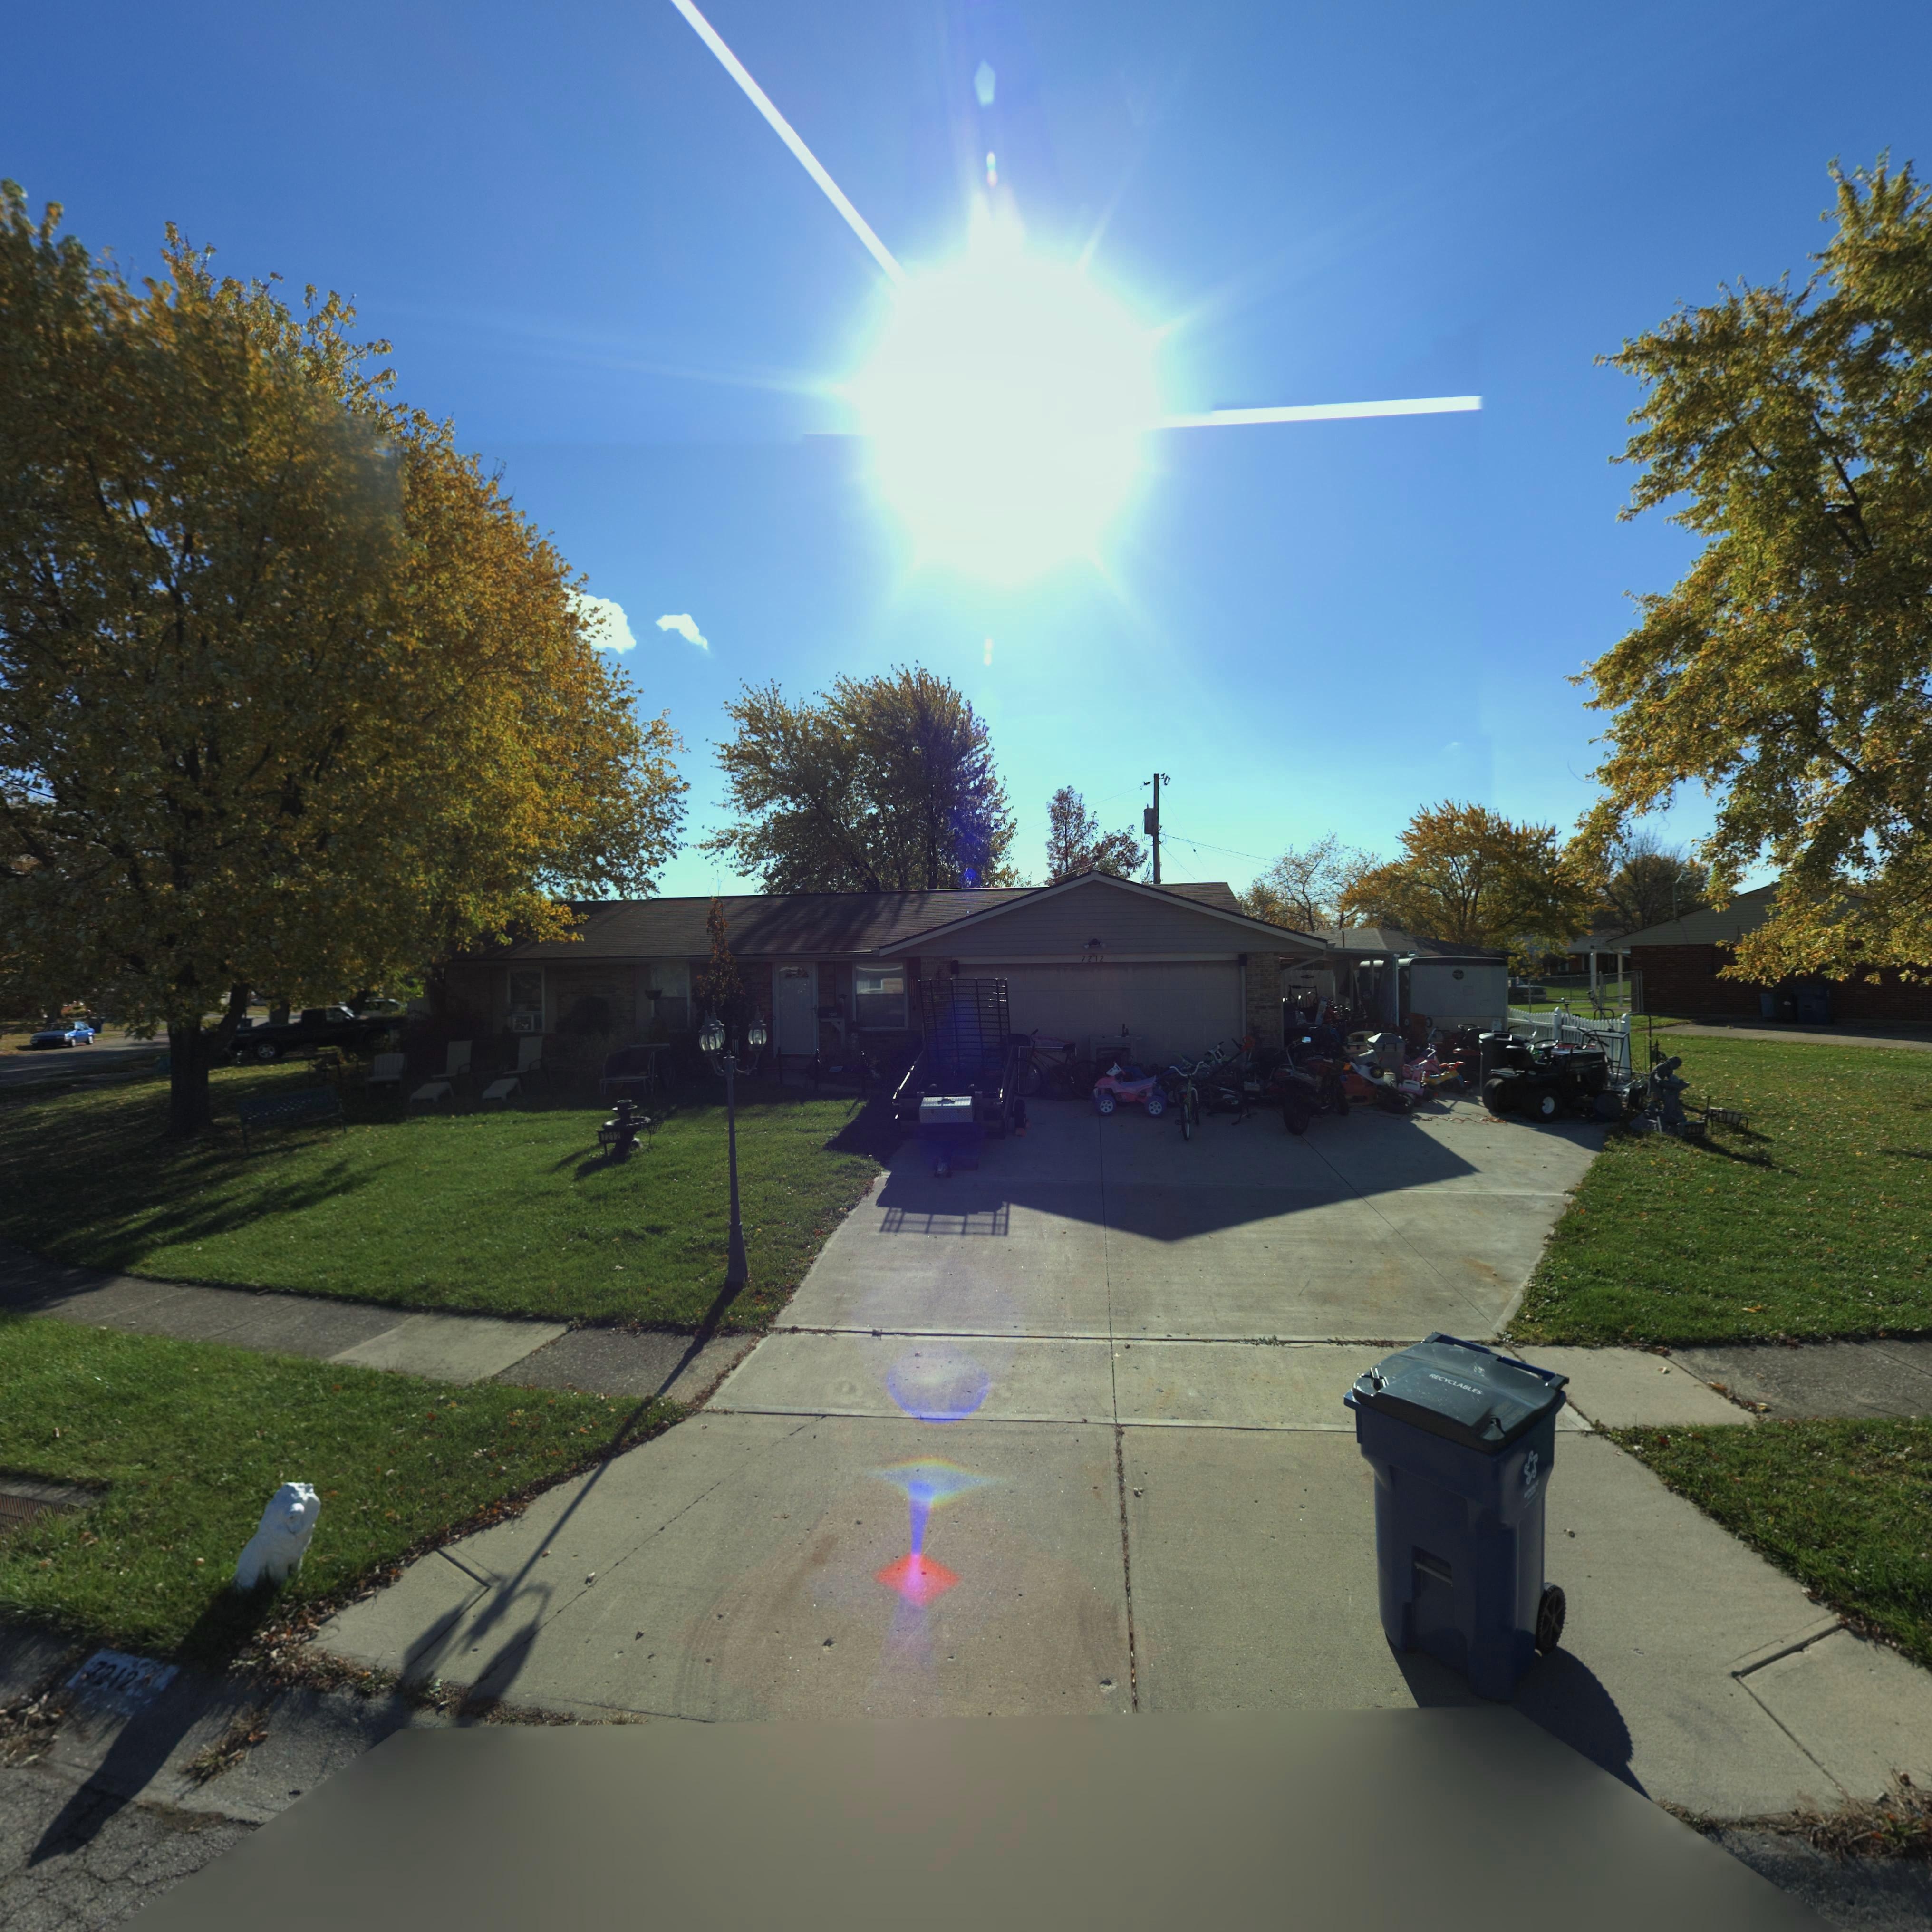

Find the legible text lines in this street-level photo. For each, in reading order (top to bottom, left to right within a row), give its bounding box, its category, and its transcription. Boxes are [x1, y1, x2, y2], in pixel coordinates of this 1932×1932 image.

[1080, 954, 1105, 963] StreetNumber: 7212
[827, 1011, 838, 1018] StreetNumber: 7***
[1684, 1124, 1703, 1135] StreetNumber: *2**
[601, 1131, 621, 1141] StreetNumber: 7212
[79, 1657, 142, 1695] StreetNumber: 7212